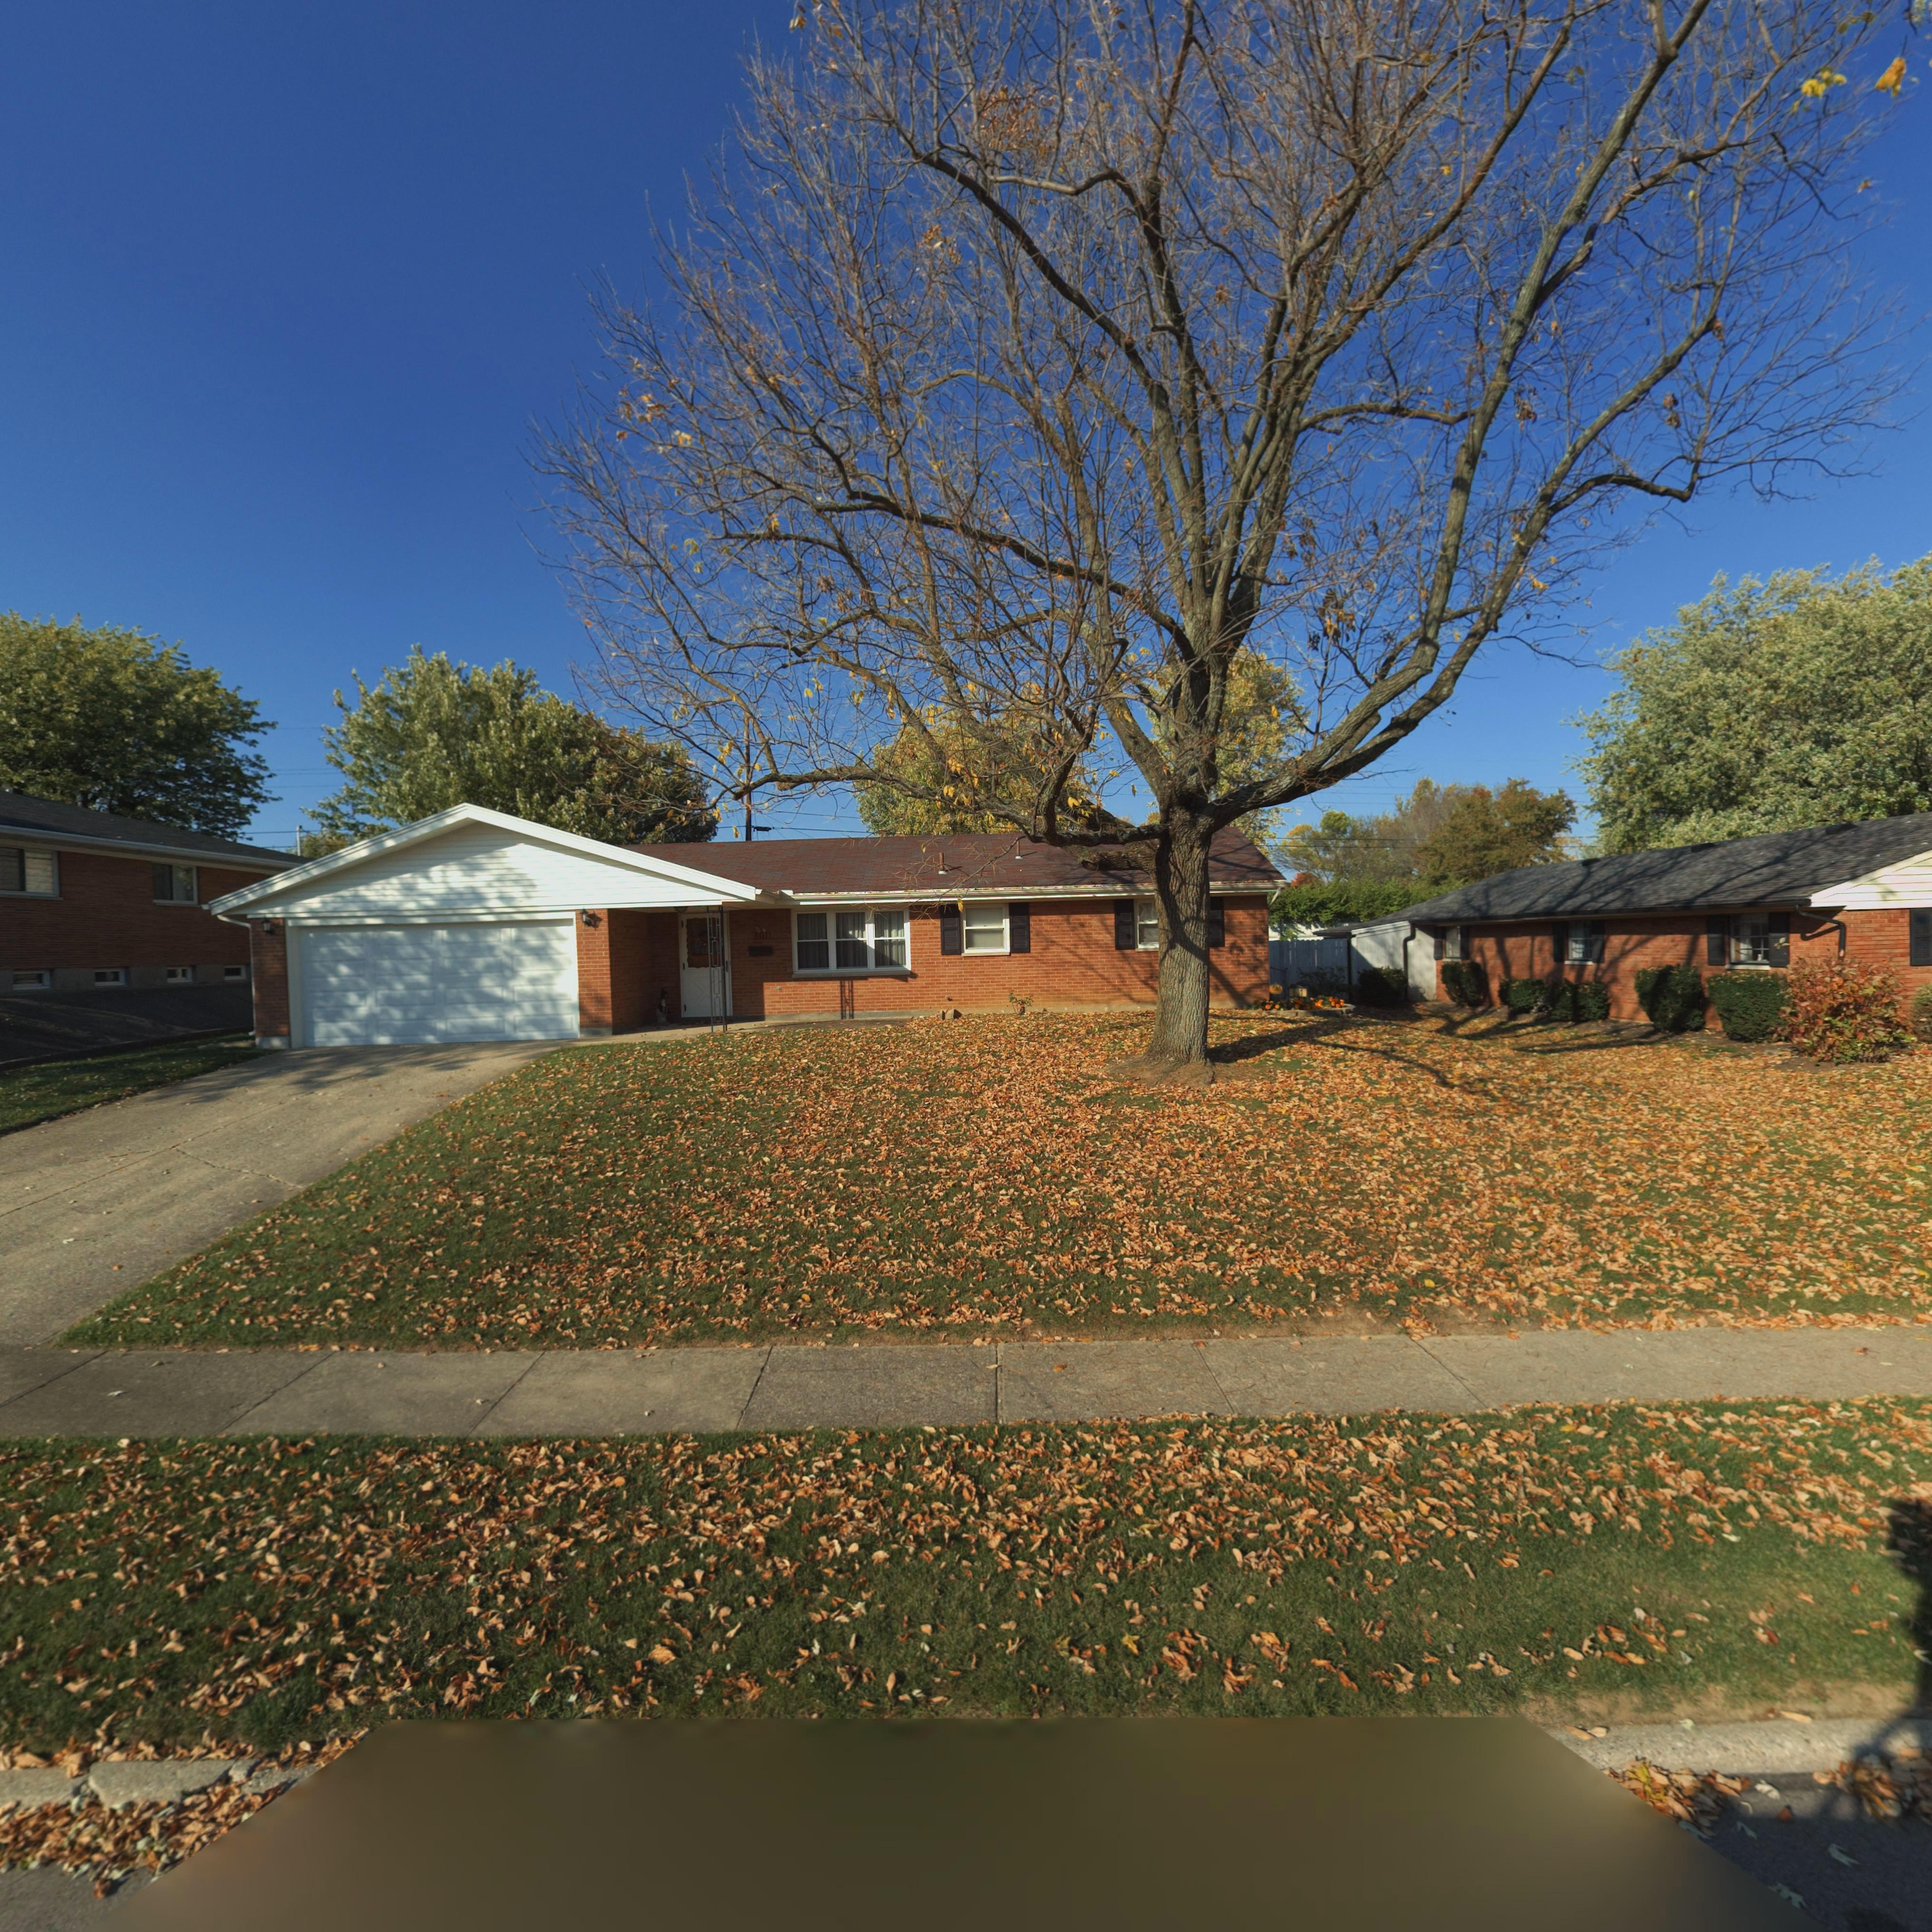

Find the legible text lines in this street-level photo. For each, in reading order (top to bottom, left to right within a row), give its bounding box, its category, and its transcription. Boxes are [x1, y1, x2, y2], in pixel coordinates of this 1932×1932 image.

[753, 931, 767, 940] StreetNumber: 801